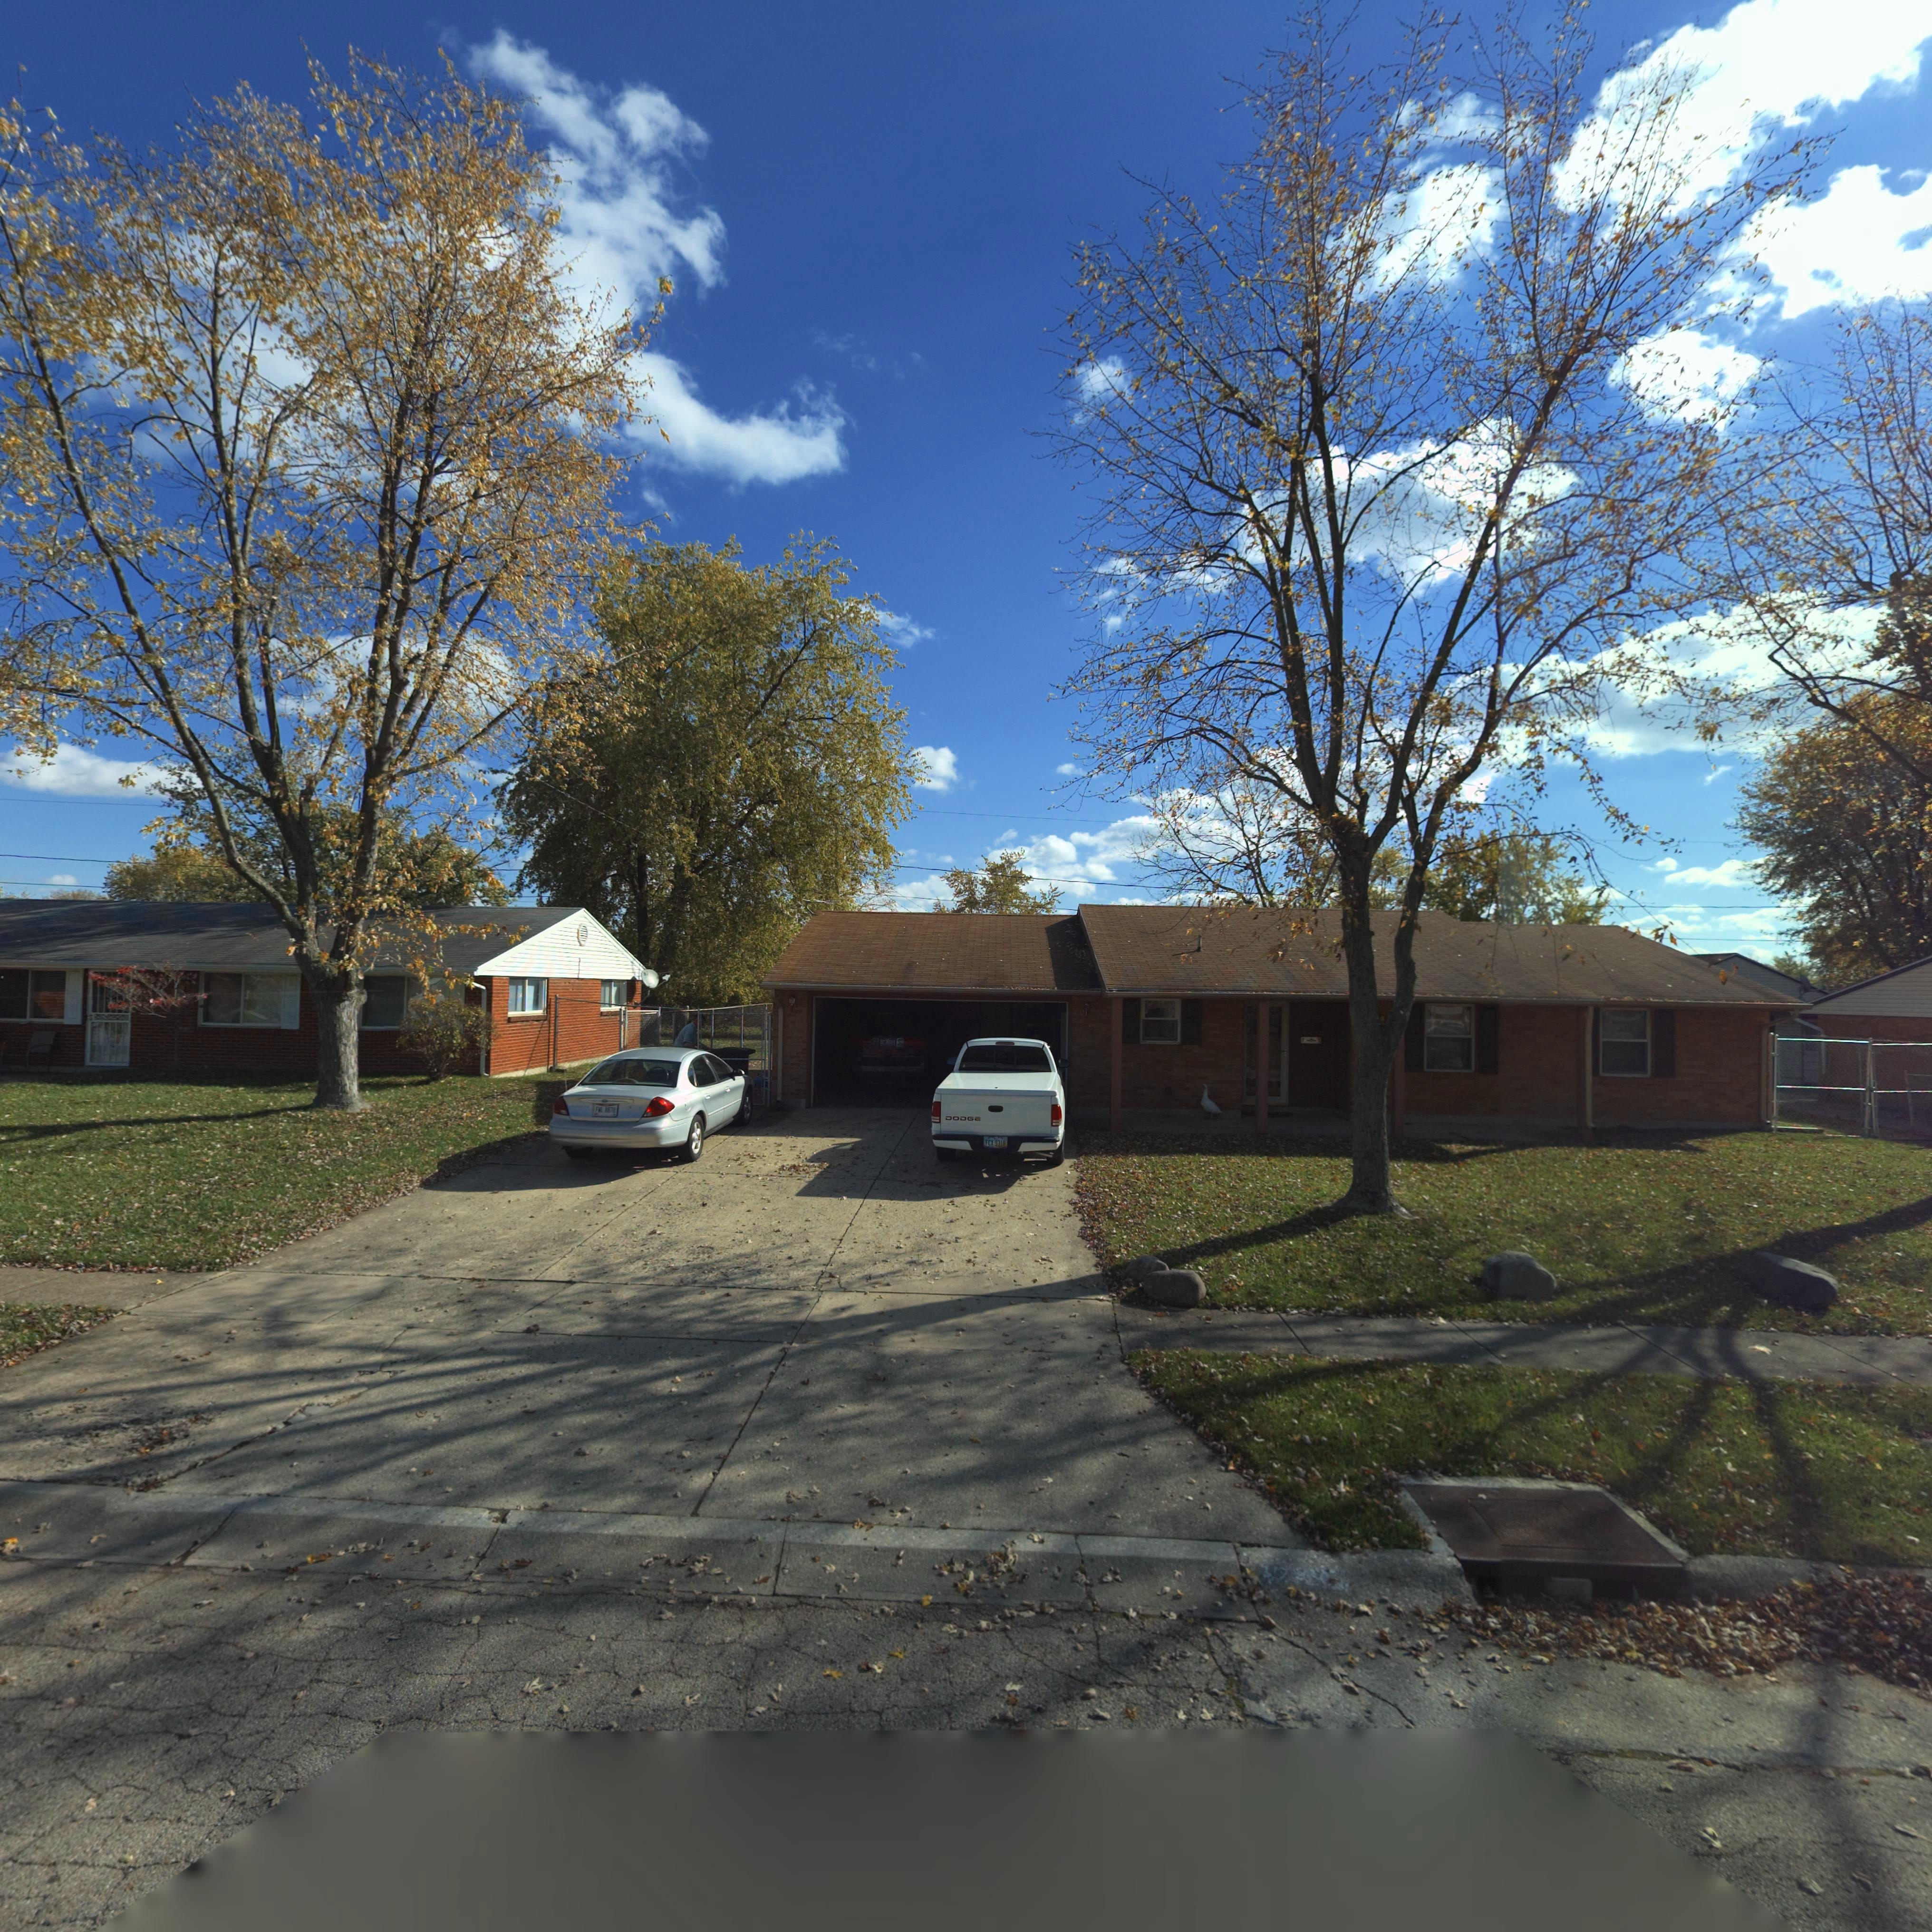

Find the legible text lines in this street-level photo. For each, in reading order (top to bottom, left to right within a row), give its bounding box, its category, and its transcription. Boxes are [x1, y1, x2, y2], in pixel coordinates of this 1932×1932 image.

[1378, 1014, 1386, 1023] StreetNumber: 4